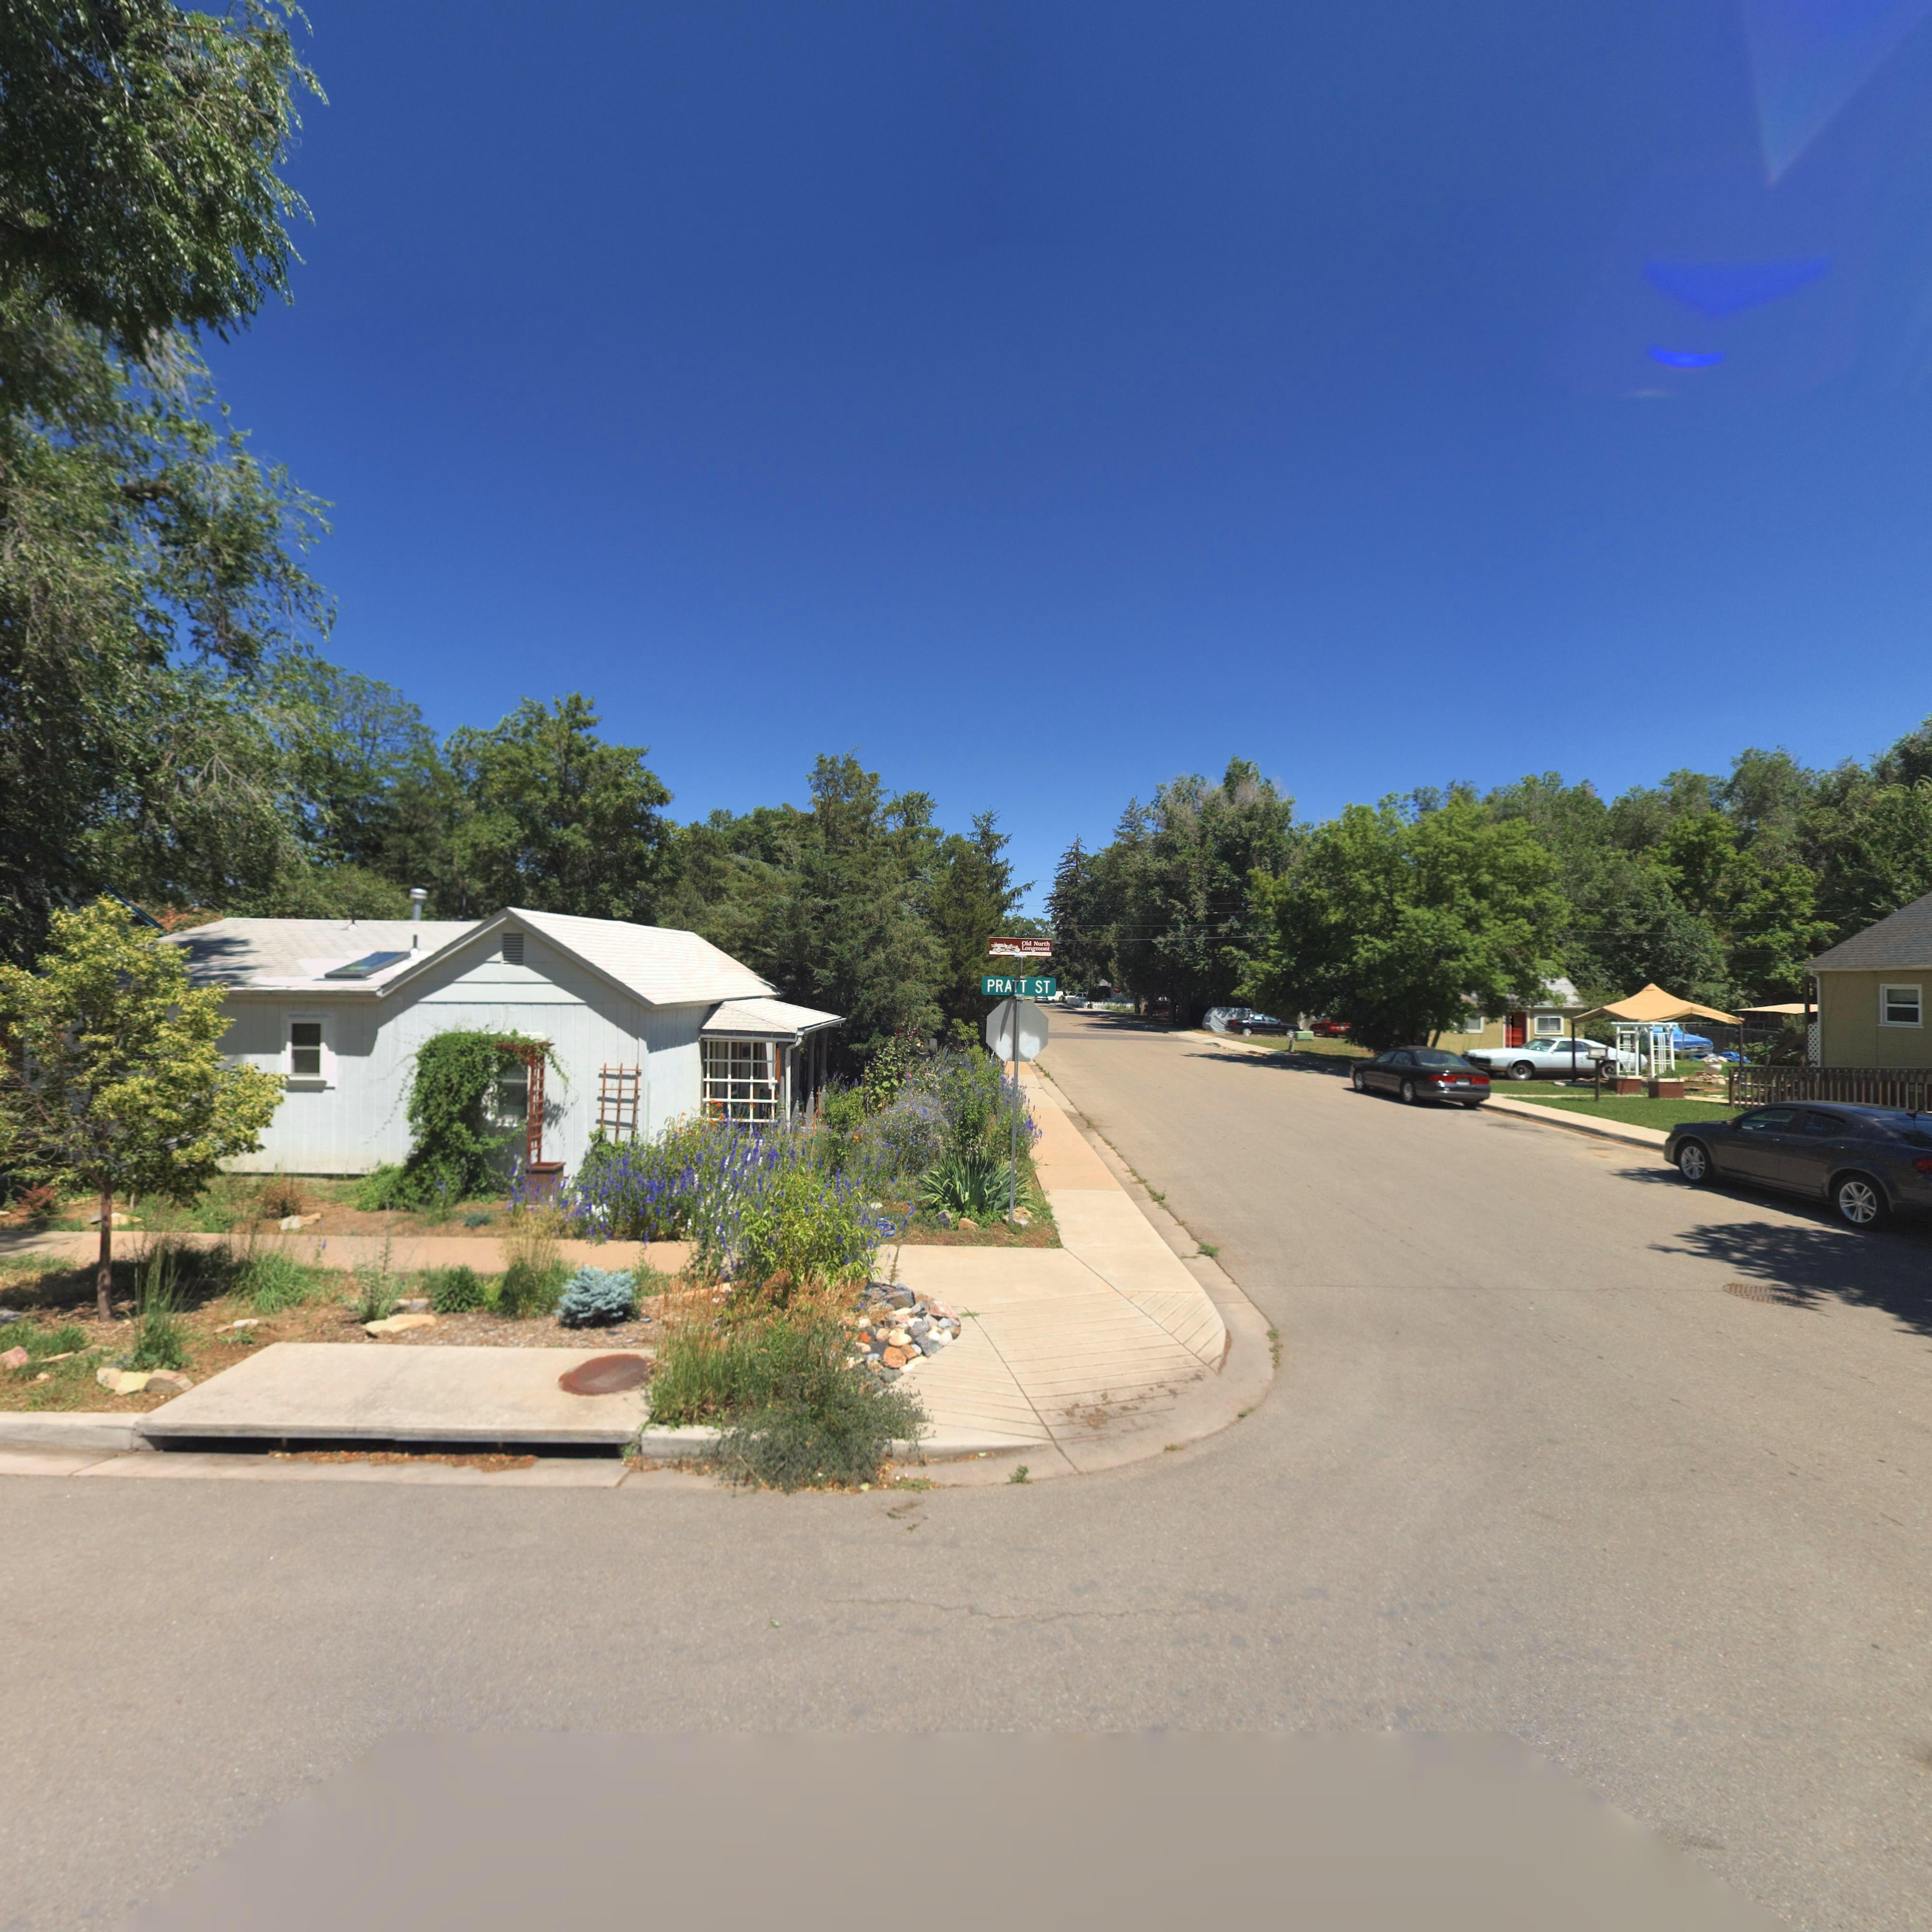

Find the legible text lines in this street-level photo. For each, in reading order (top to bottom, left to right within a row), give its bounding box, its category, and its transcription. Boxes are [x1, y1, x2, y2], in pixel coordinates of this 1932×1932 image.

[987, 978, 1051, 994] StreetName: PRATT ST